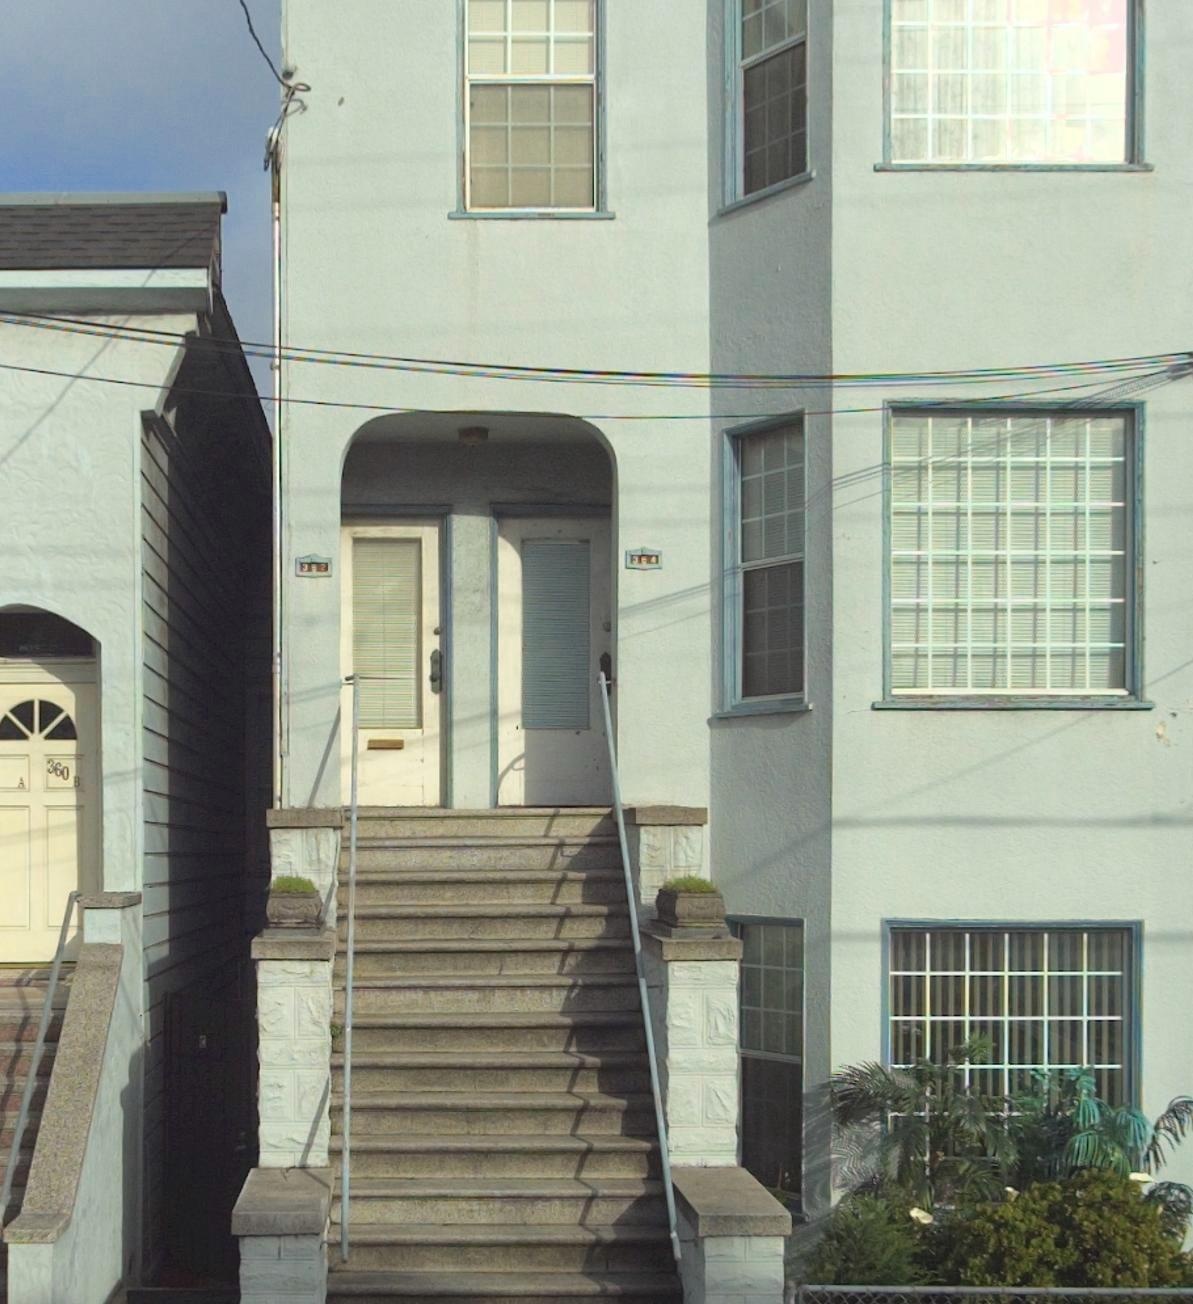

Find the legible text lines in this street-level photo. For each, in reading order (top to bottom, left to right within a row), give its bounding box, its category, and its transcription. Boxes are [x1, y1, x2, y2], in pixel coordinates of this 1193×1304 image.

[630, 555, 658, 565] StreetNumber: 364
[302, 562, 327, 573] StreetNumber: 3*2
[45, 757, 85, 789] StreetNumber: 360 B
[16, 775, 25, 789] StreetNumber: A